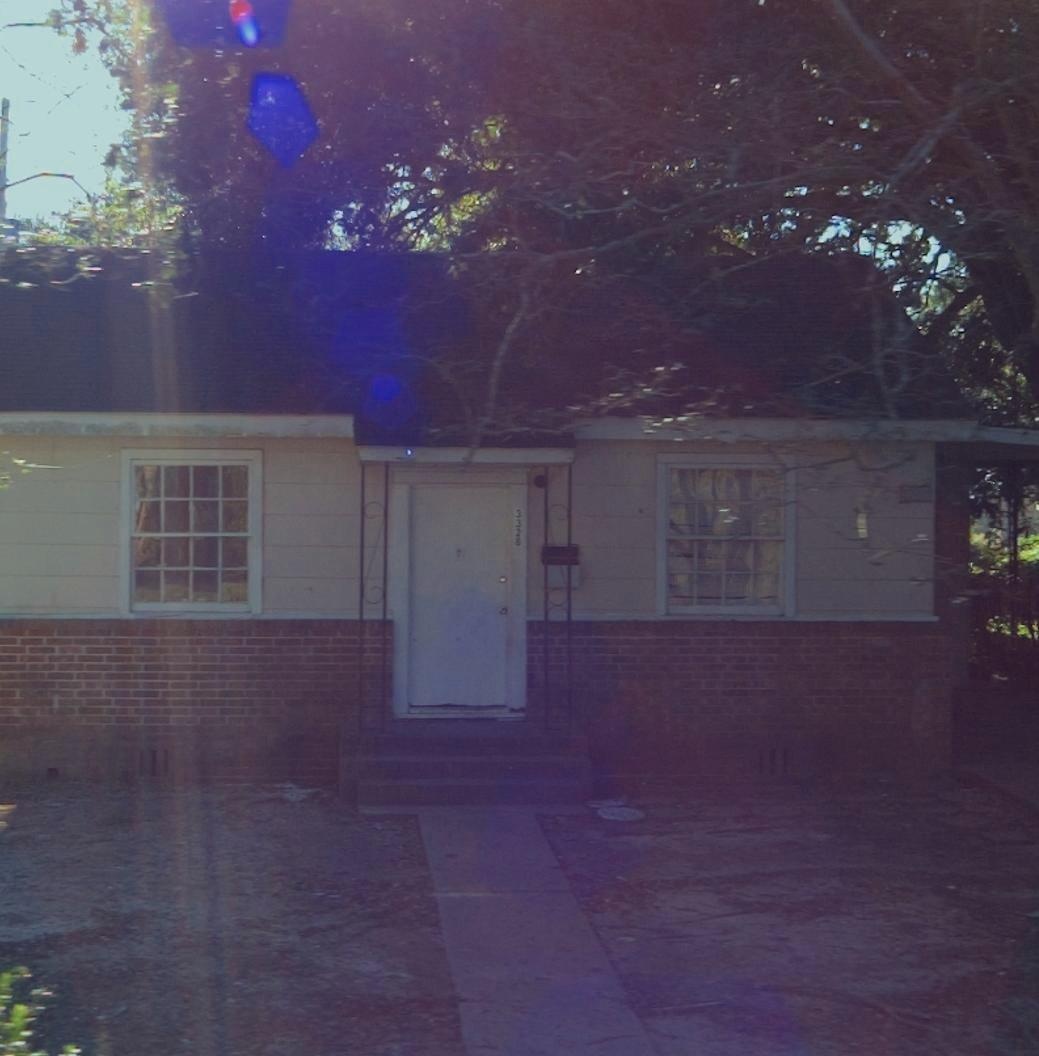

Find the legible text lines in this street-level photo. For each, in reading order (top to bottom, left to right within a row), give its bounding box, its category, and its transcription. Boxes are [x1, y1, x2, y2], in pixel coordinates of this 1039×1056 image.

[513, 508, 523, 547] StreetNumber: 3328